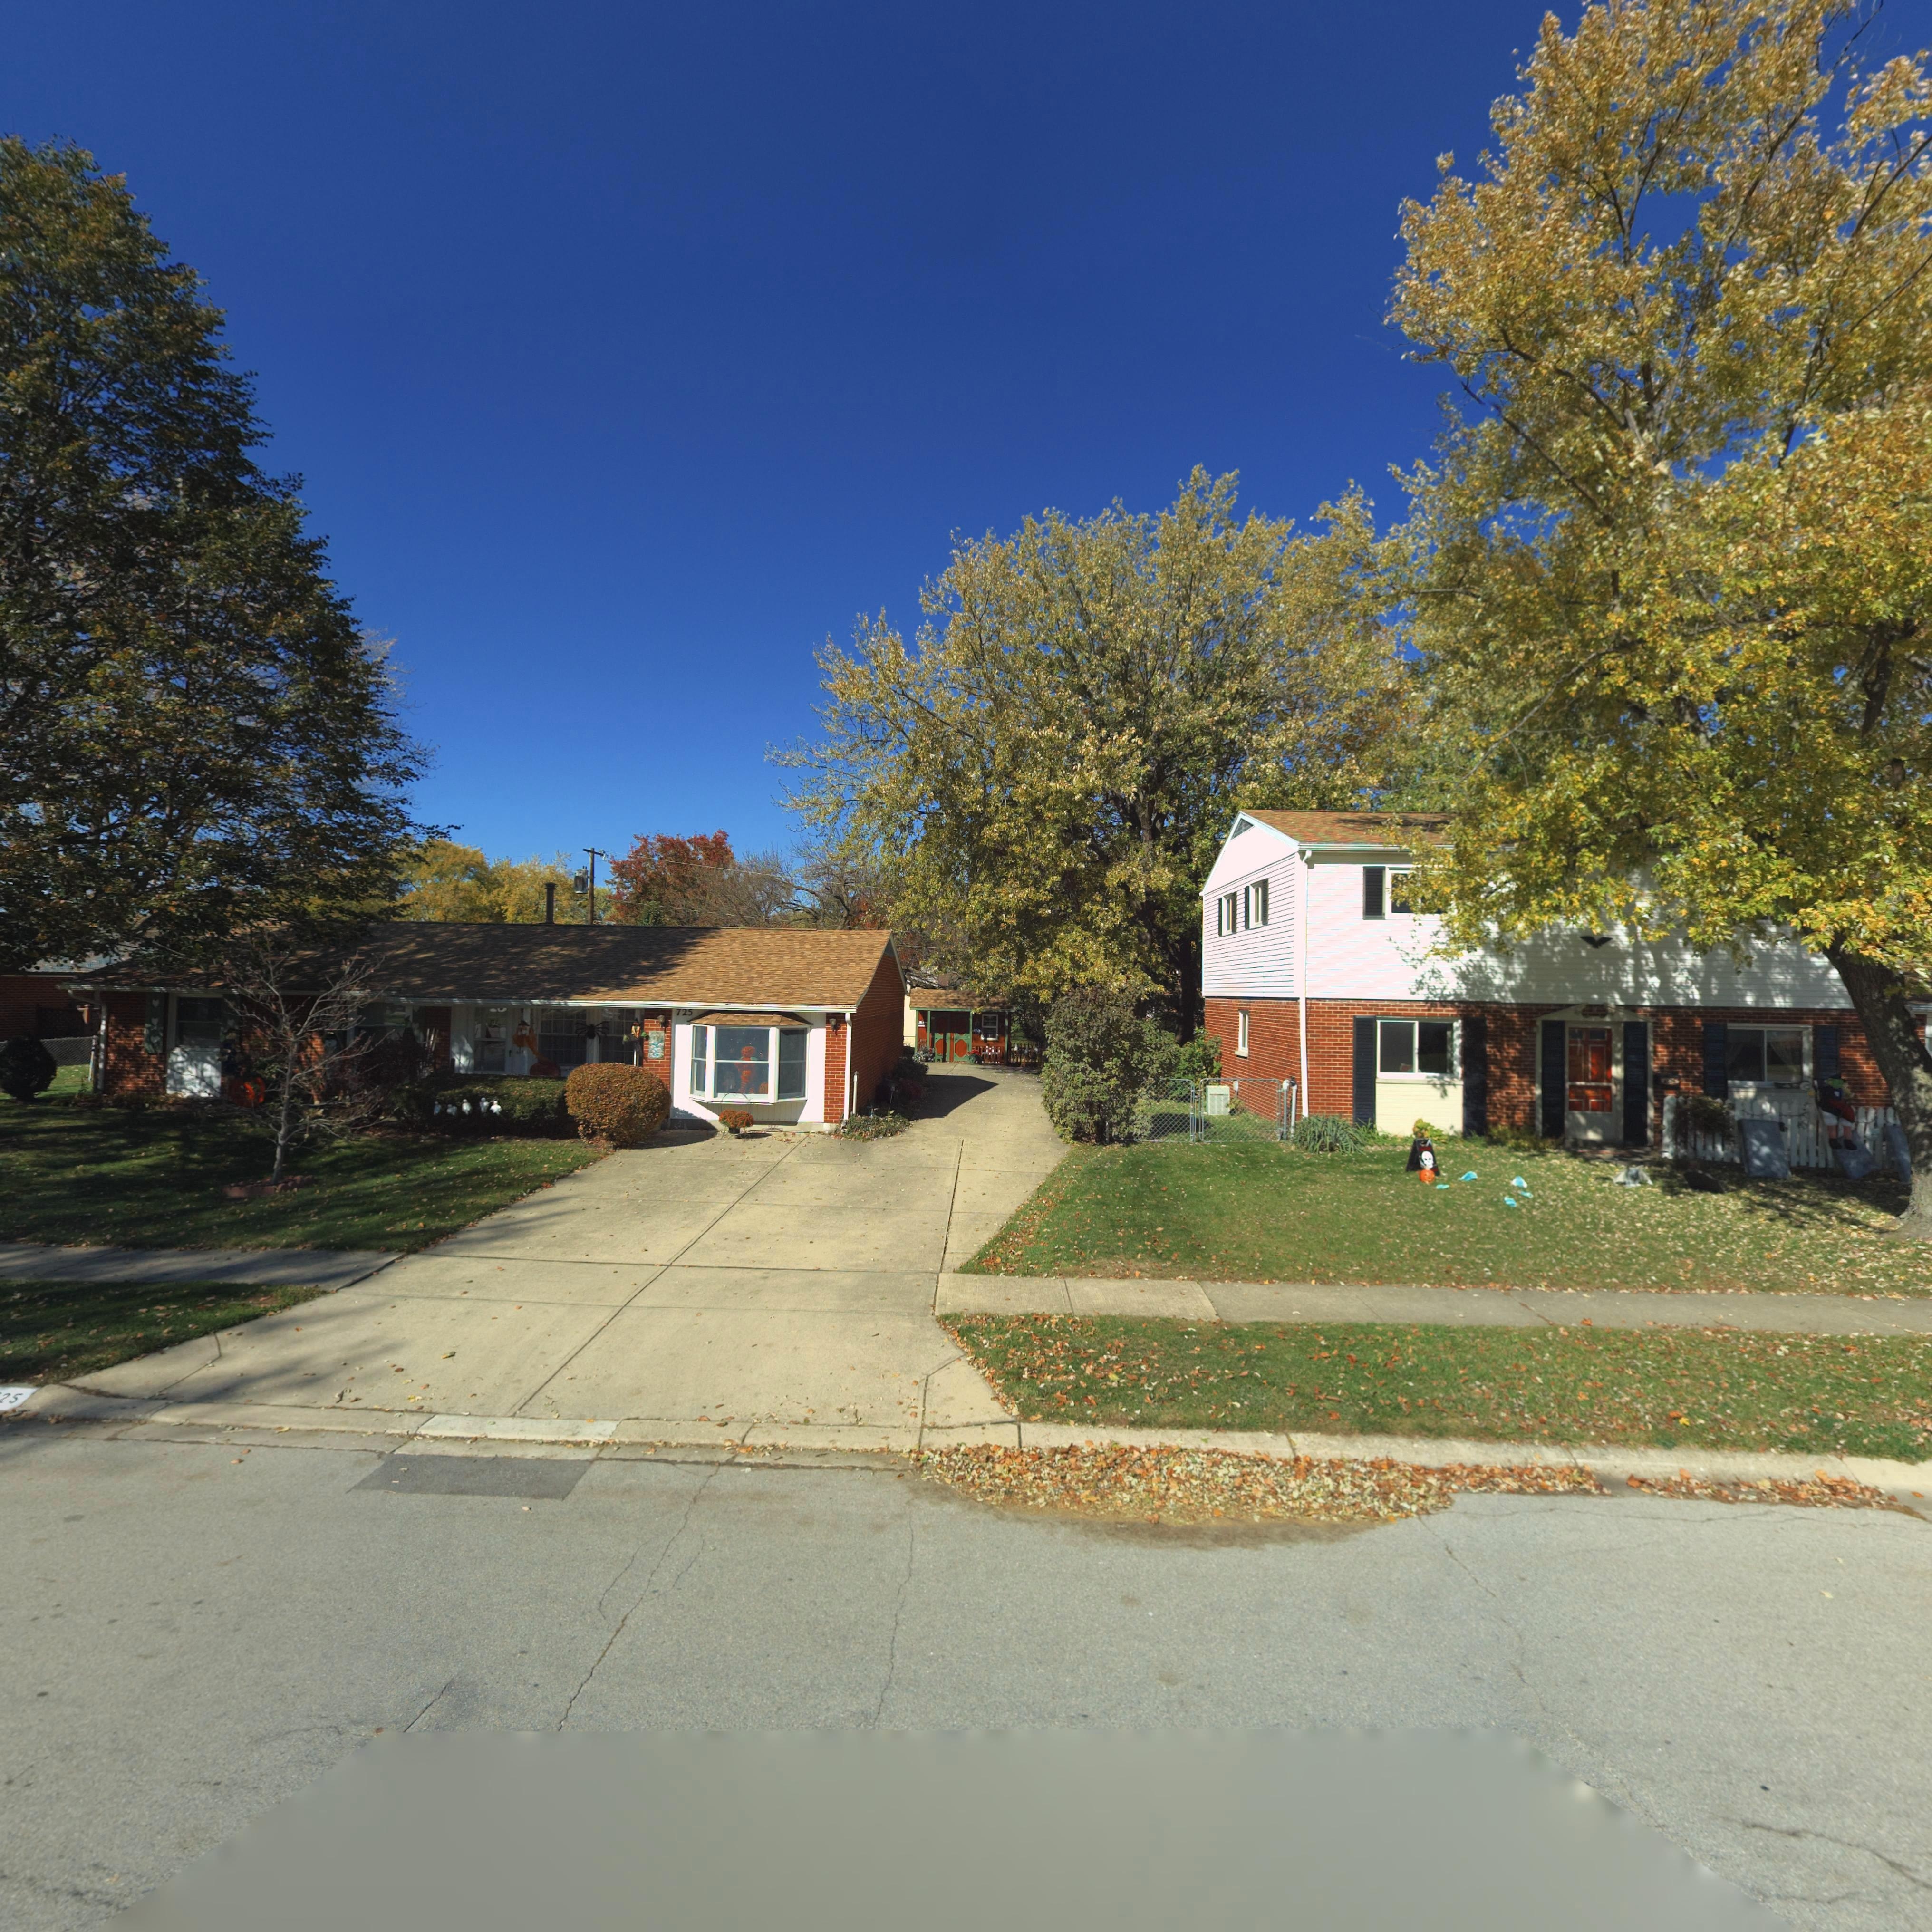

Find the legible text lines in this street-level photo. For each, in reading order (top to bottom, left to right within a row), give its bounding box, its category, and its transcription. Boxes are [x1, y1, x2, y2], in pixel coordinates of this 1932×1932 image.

[676, 1008, 694, 1016] StreetNumber: 725
[0, 1392, 24, 1404] StreetNumber: 25